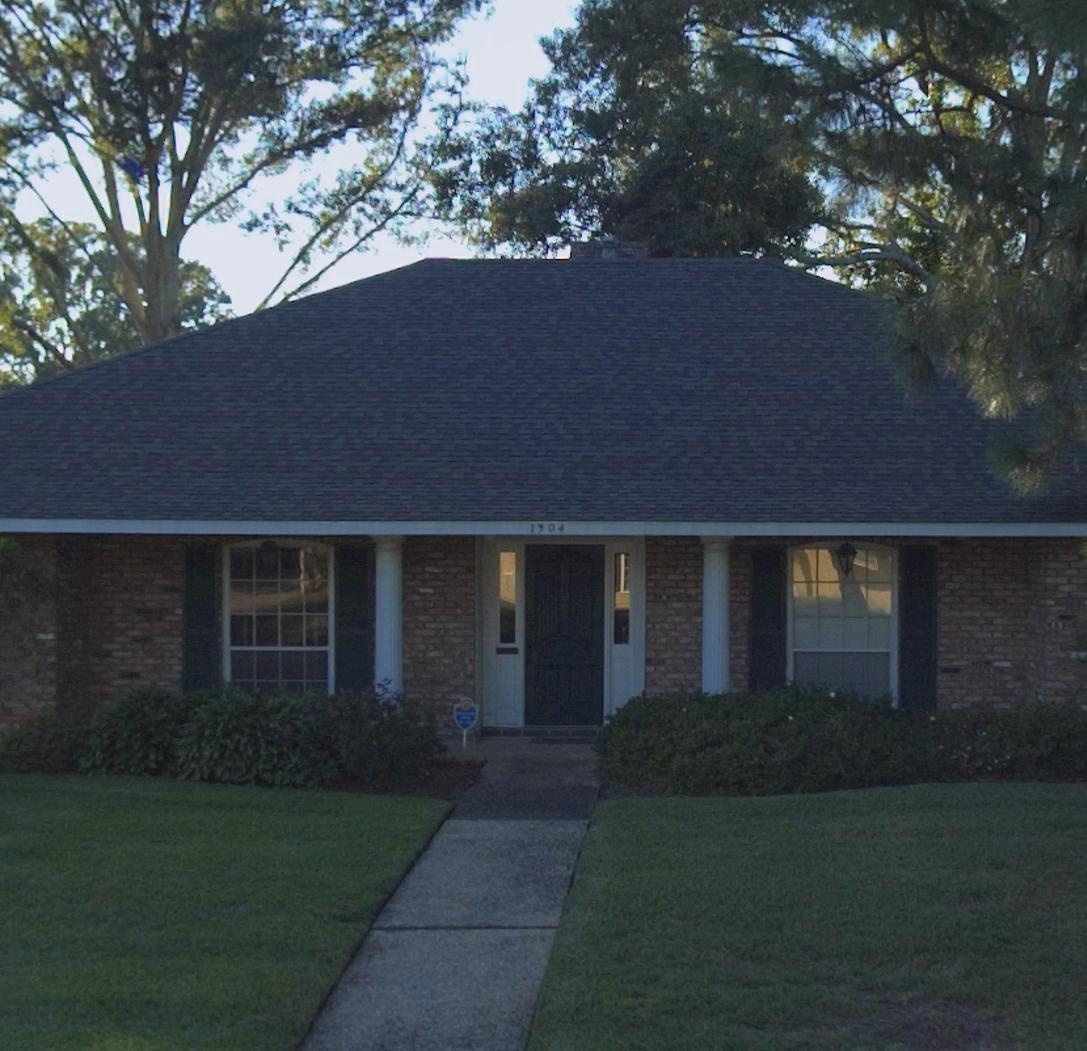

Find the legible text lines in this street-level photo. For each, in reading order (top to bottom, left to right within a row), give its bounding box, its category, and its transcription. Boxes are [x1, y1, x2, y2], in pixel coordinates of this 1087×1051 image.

[528, 522, 566, 535] StreetNumber: 1904